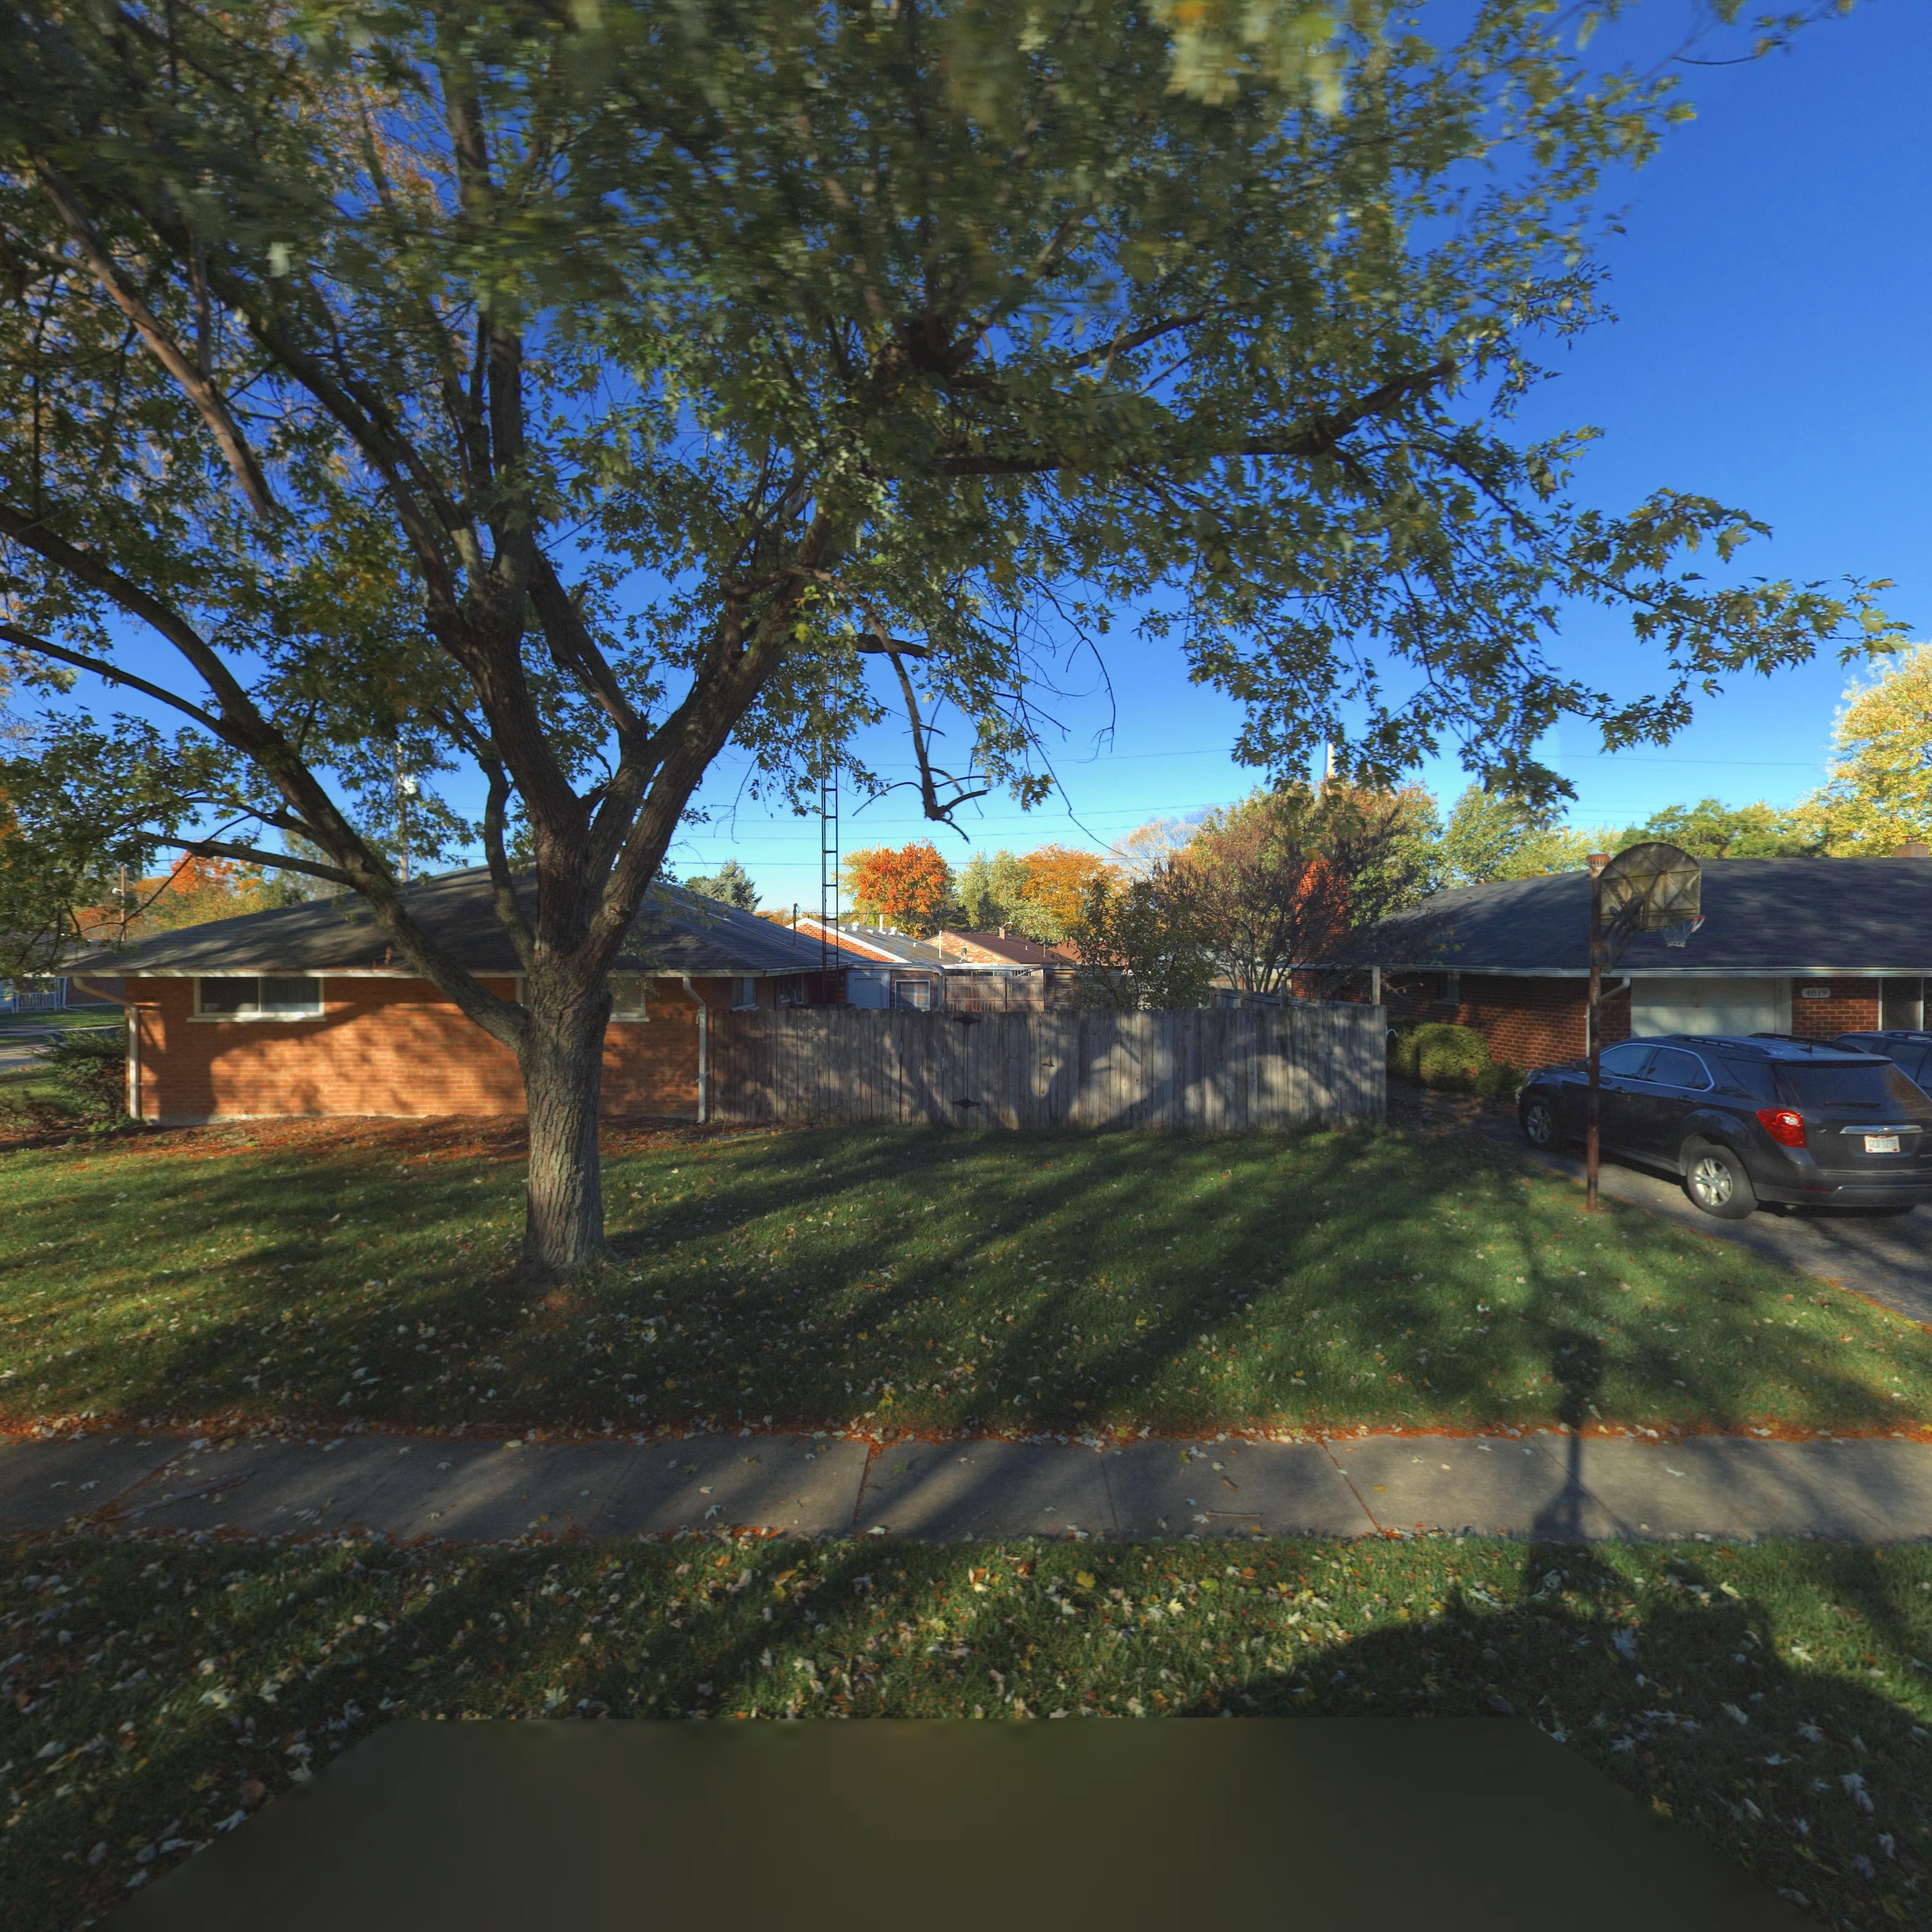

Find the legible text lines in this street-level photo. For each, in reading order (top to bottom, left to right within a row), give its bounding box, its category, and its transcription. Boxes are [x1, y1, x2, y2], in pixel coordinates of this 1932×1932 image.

[1805, 988, 1828, 998] StreetNumber: 4819